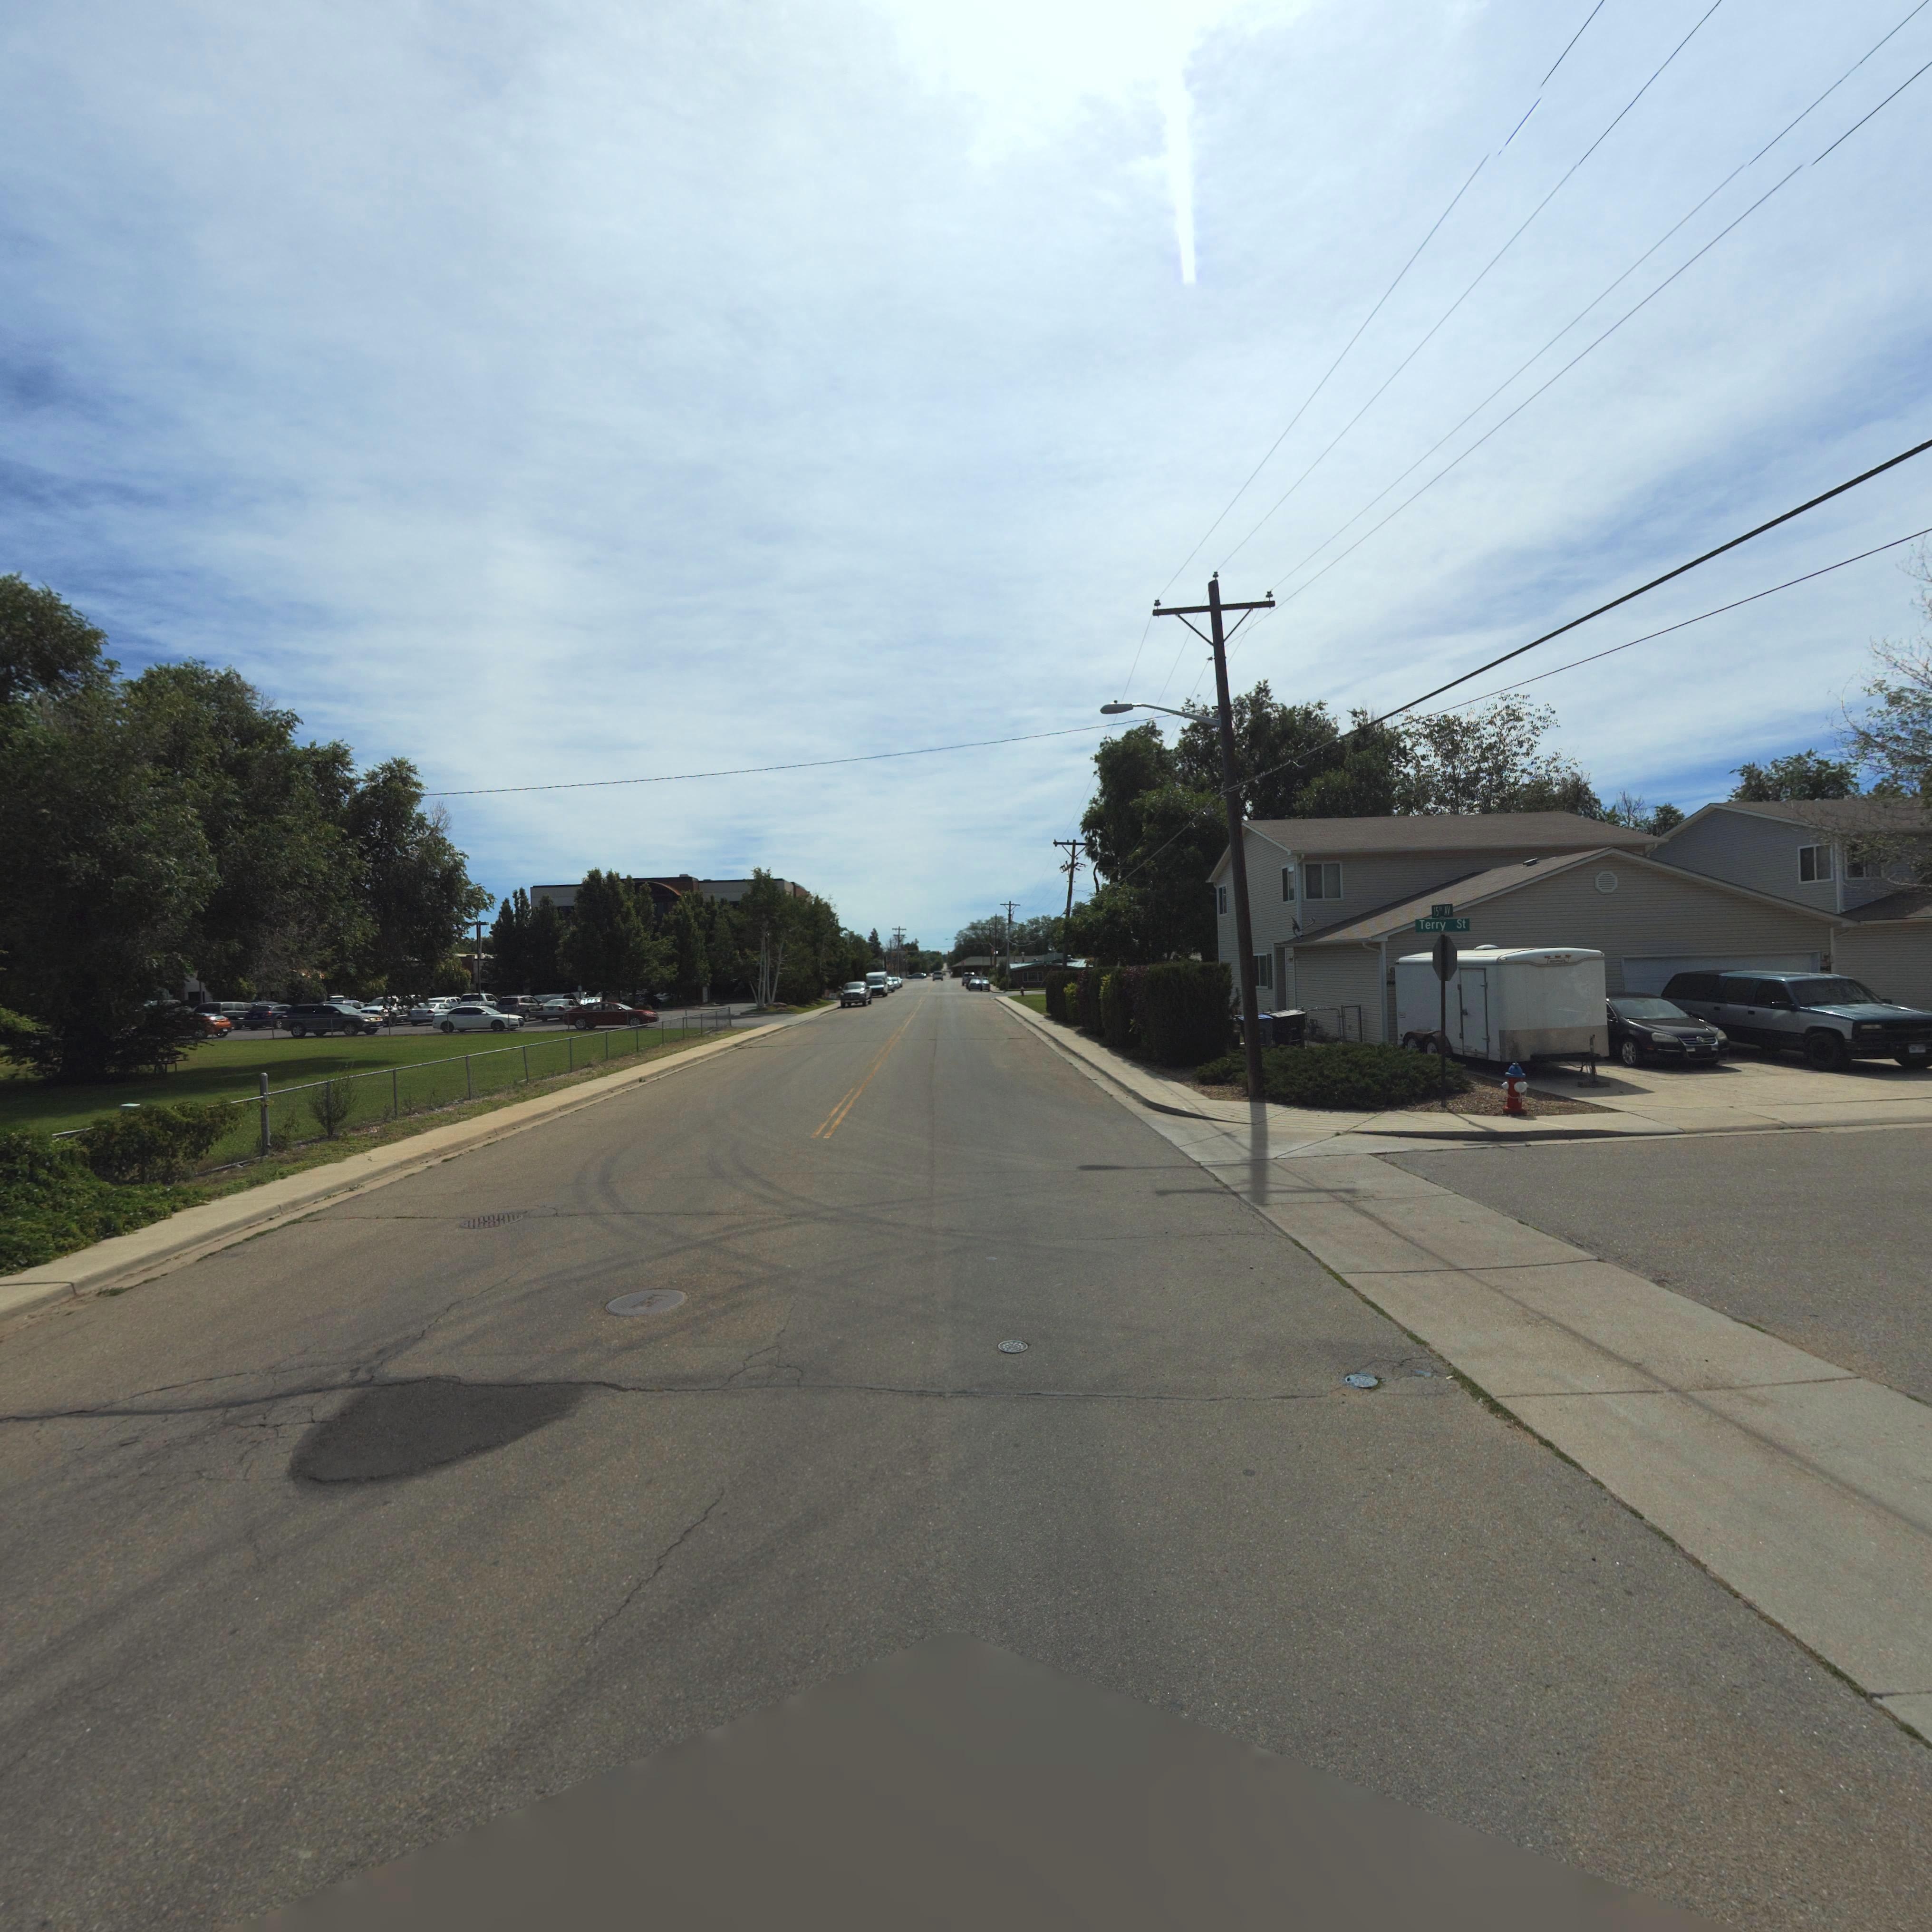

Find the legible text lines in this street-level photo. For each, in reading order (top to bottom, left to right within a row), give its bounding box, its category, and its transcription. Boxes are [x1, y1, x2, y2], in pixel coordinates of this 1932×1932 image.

[1432, 905, 1451, 917] StreetName: 15** AV
[1418, 918, 1467, 932] StreetName: Terry St
[1386, 979, 1395, 986] StreetNumber: *44